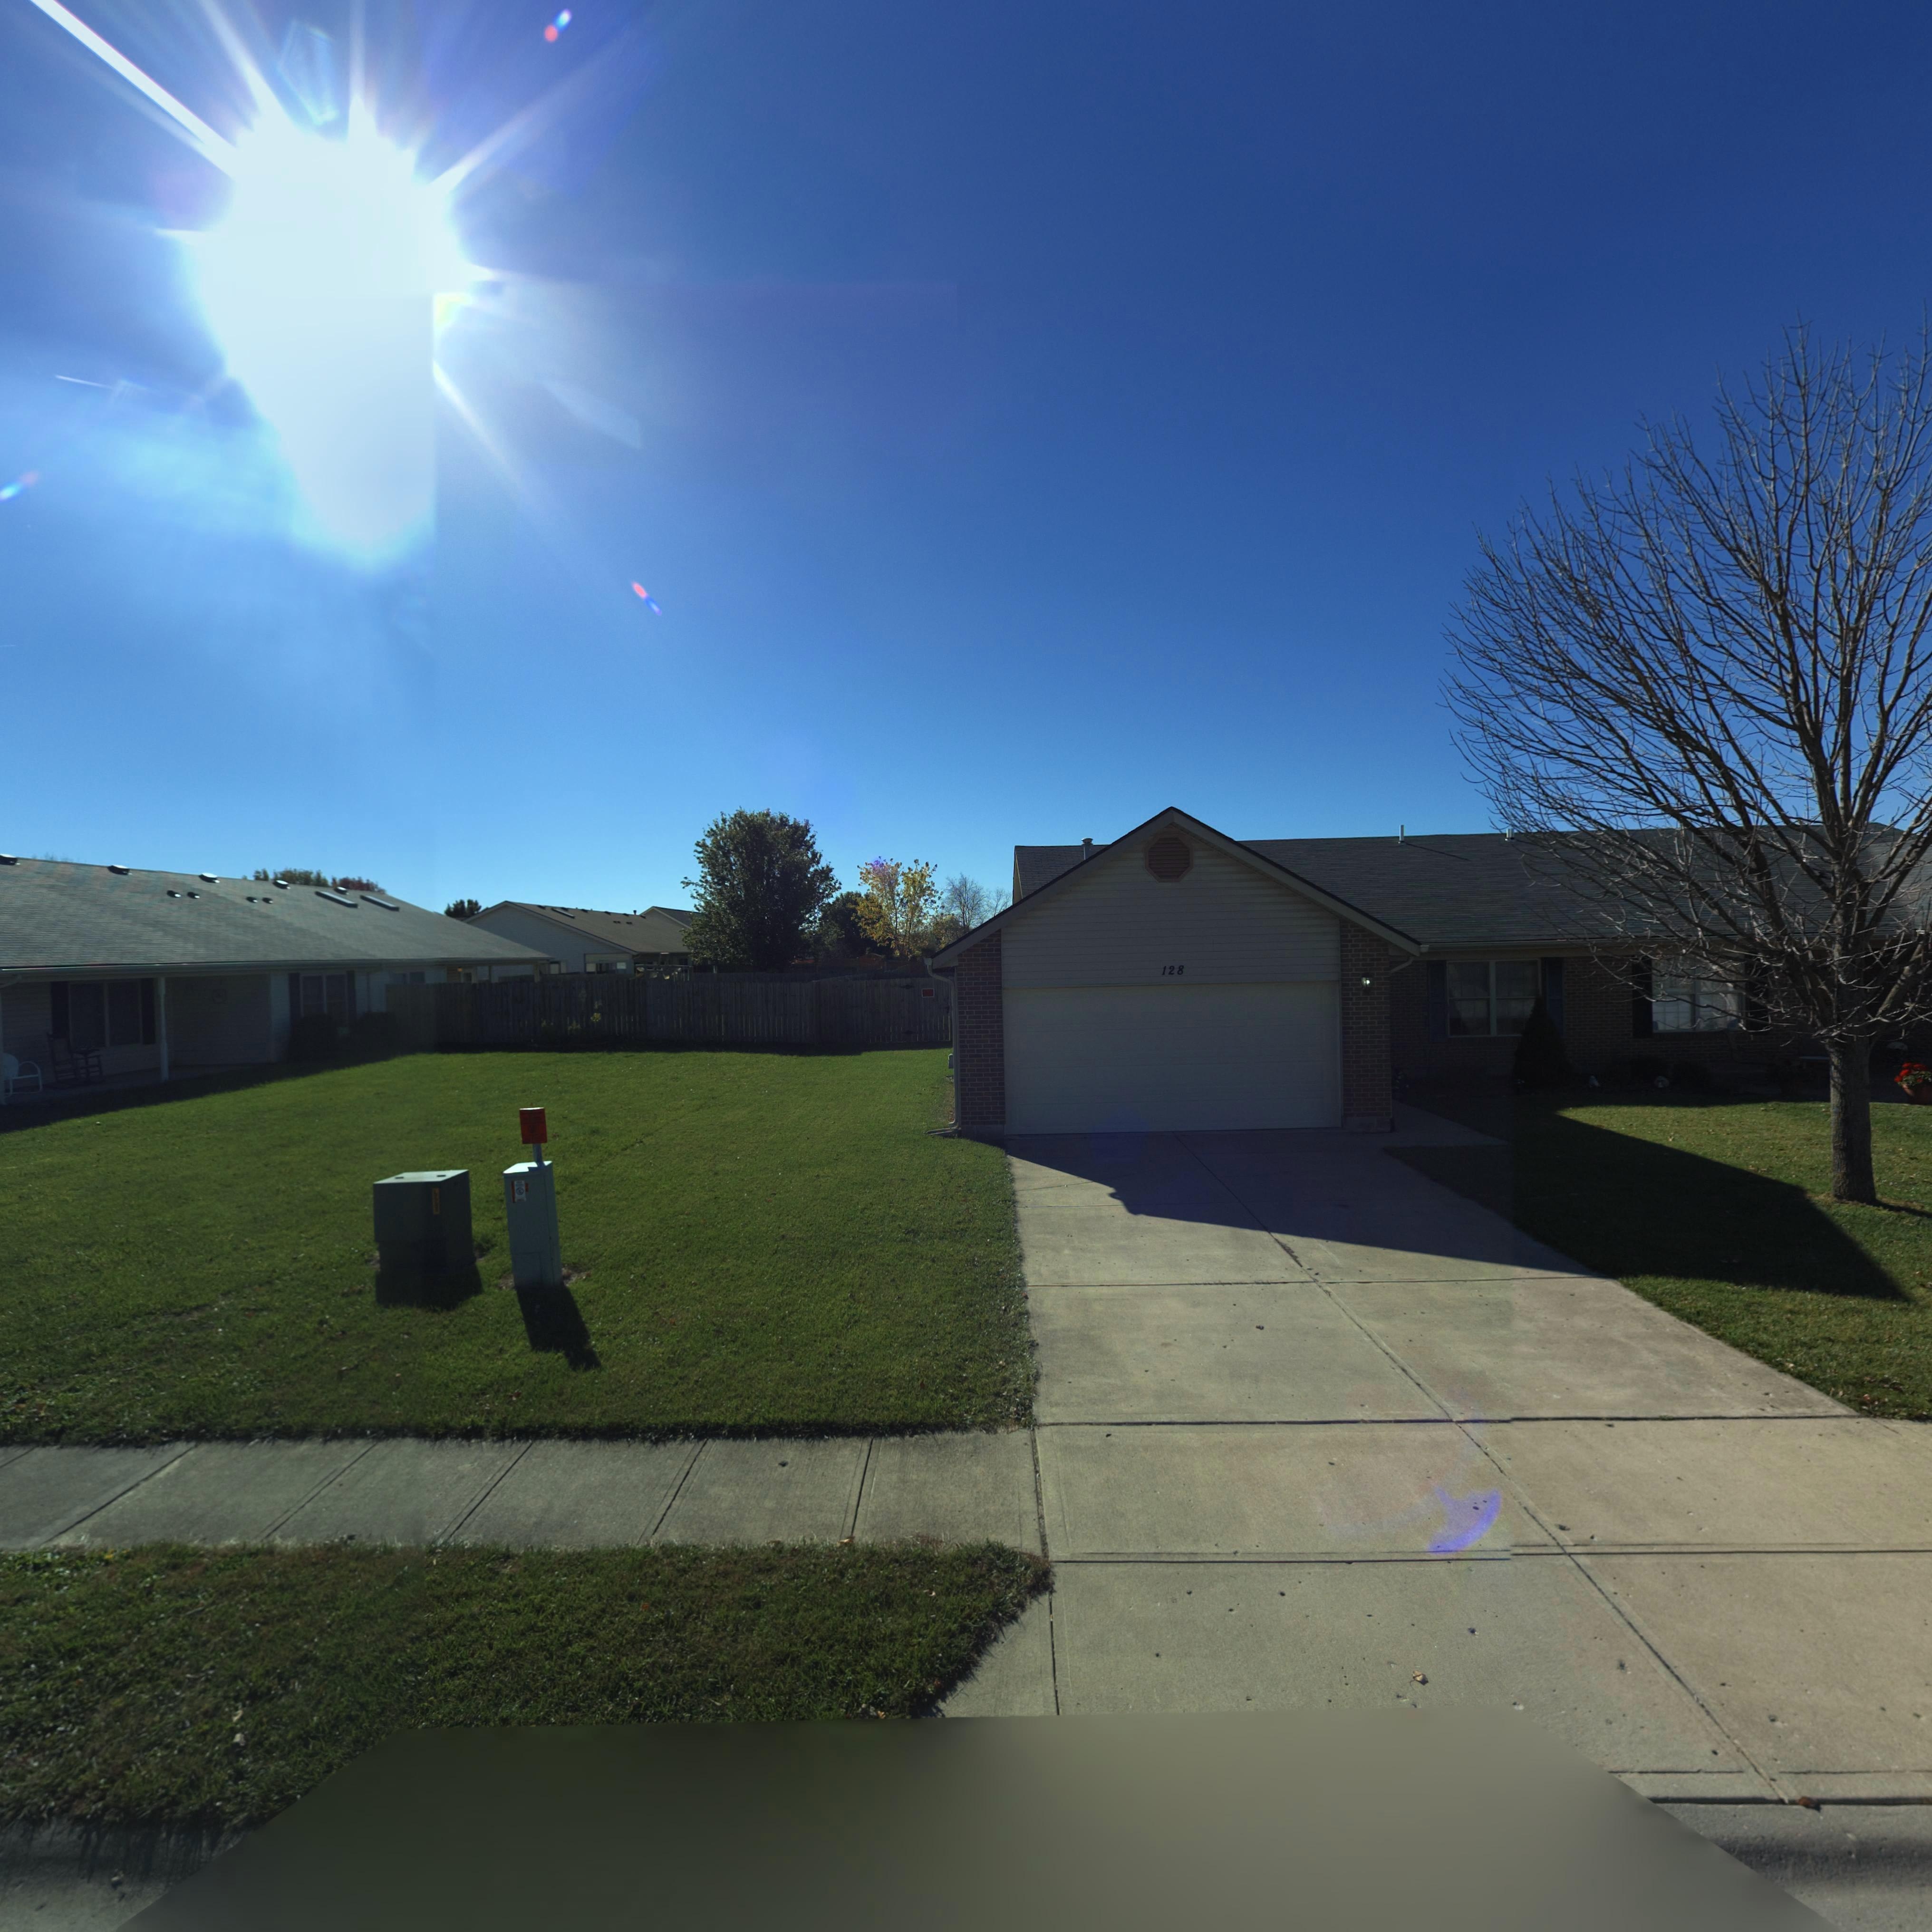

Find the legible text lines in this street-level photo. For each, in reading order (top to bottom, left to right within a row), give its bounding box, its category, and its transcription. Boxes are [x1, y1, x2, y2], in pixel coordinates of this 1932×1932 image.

[1161, 965, 1186, 976] StreetNumber: 128